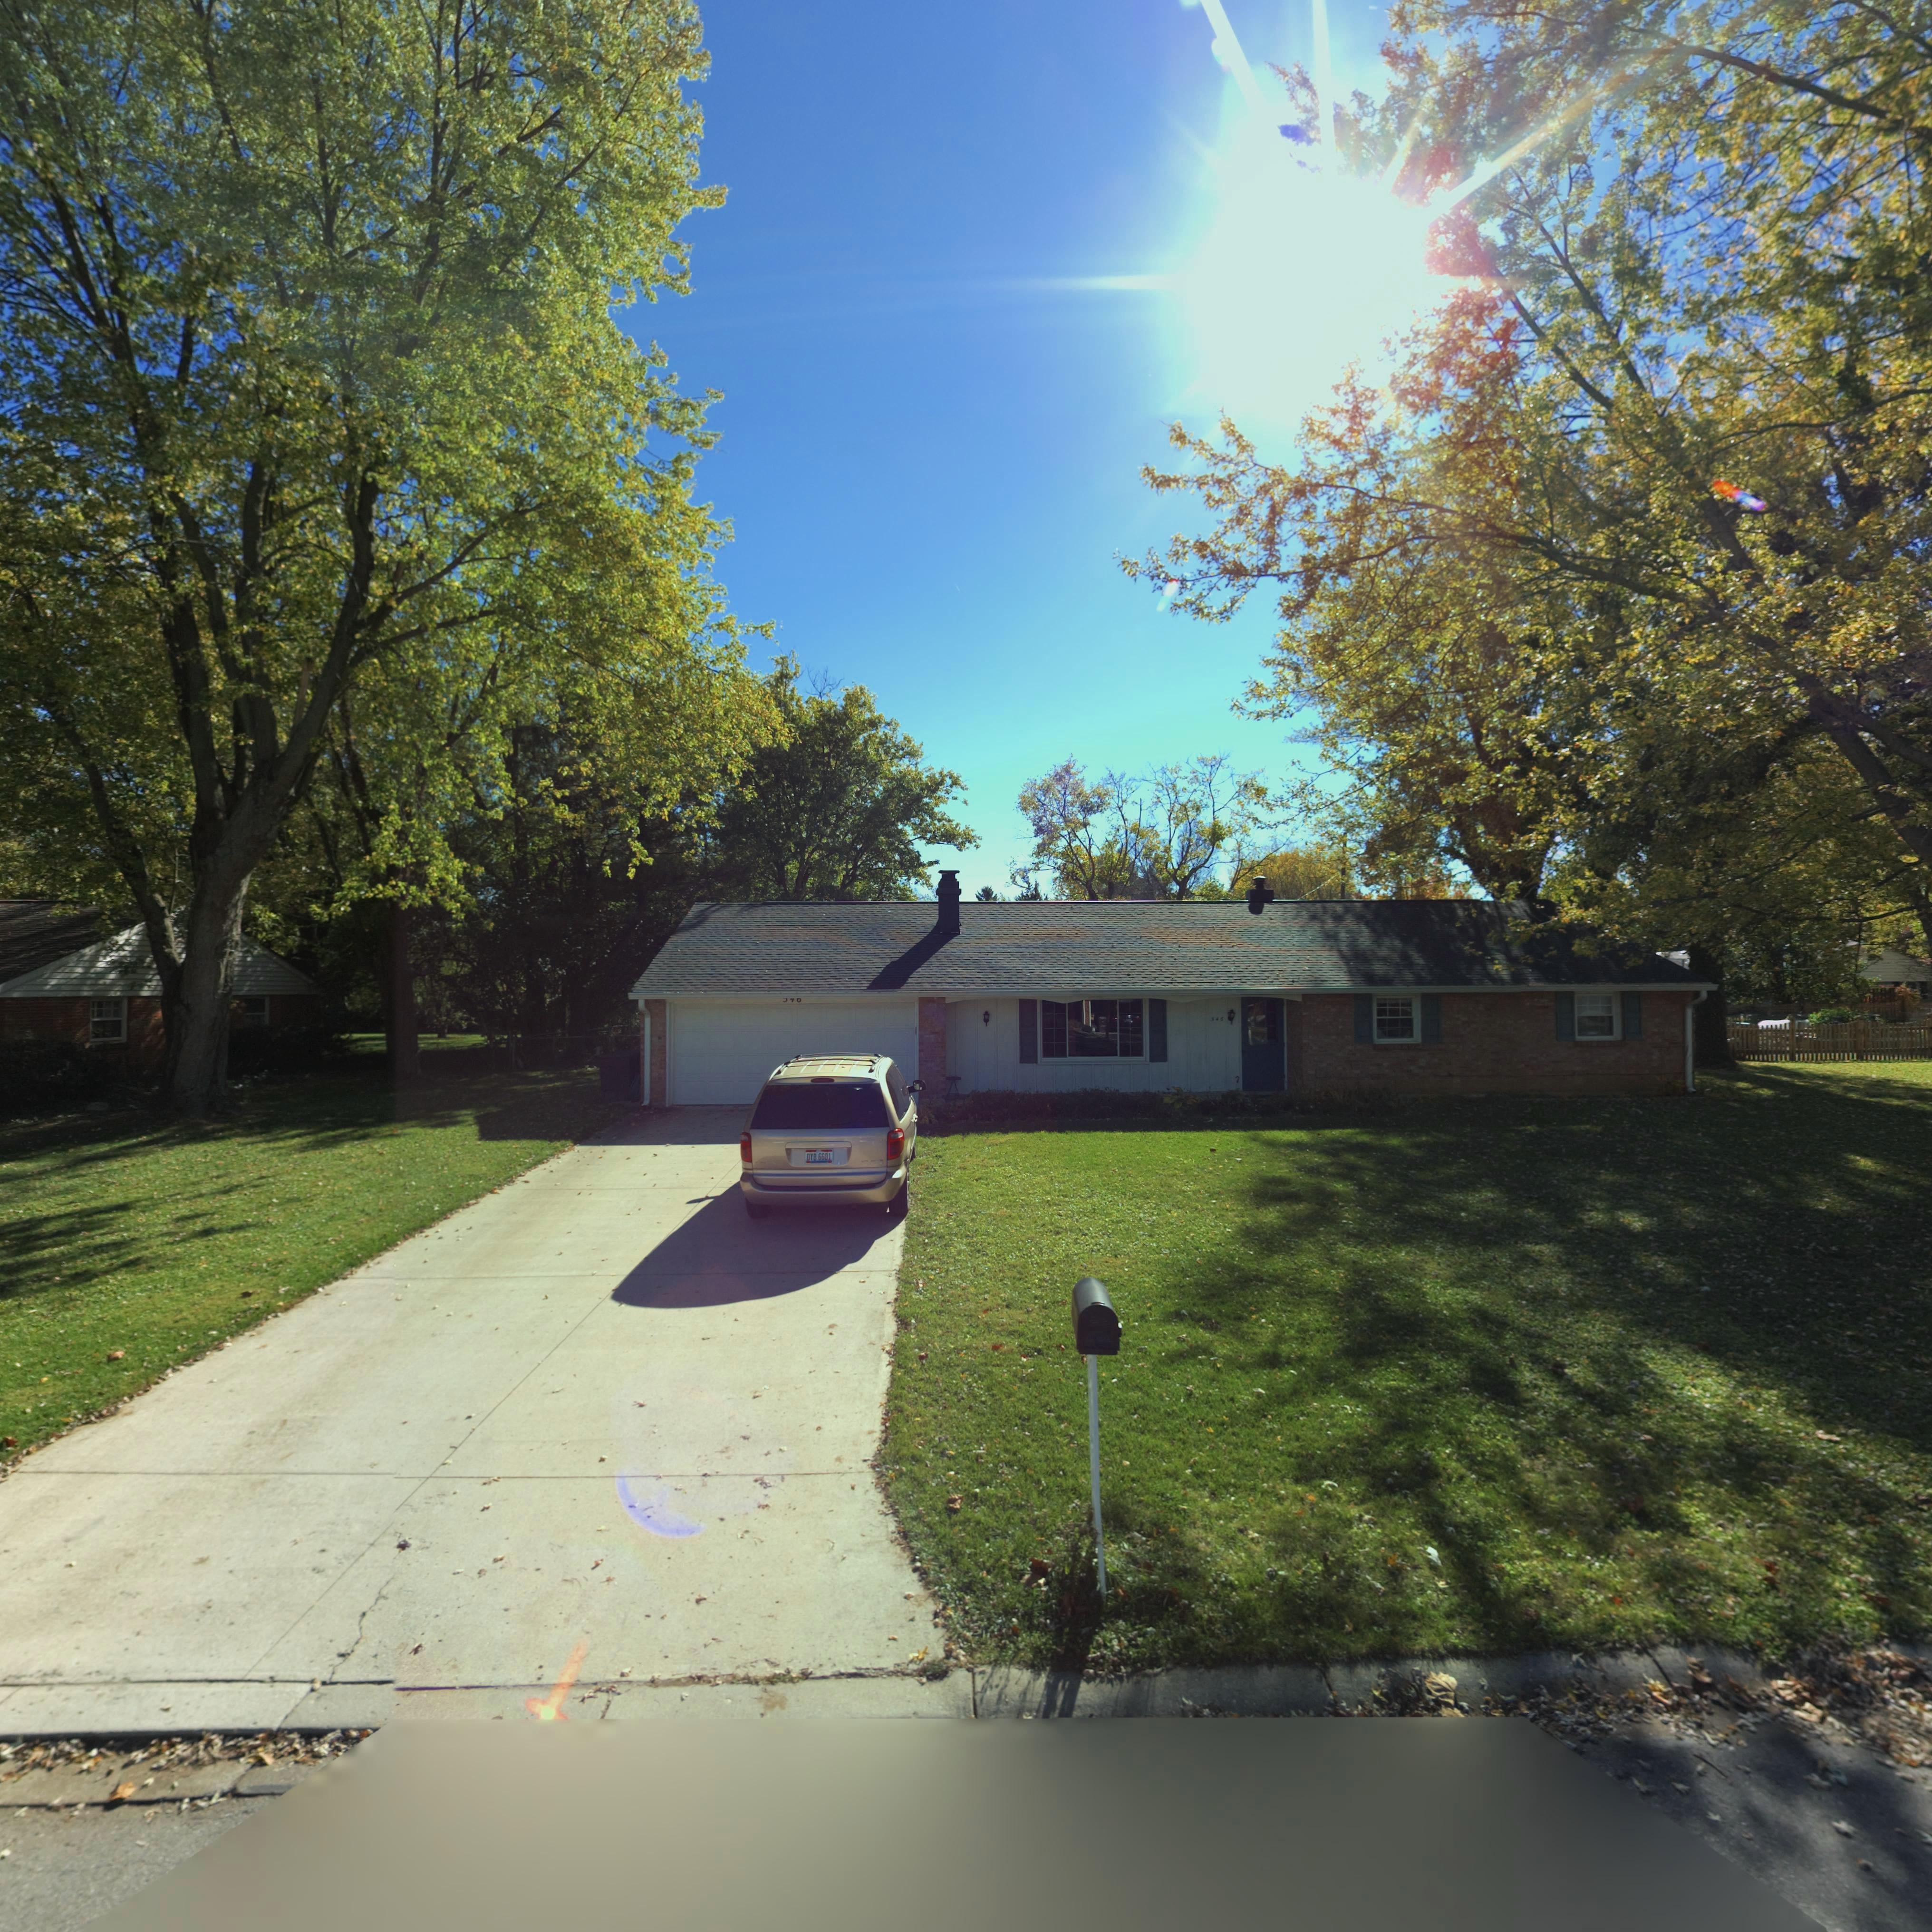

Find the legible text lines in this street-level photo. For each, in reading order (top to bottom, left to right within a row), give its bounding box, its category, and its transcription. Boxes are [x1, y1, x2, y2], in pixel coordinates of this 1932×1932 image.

[1210, 1016, 1224, 1022] StreetNumber: 546
[806, 1152, 831, 1161] None: DYB*6601